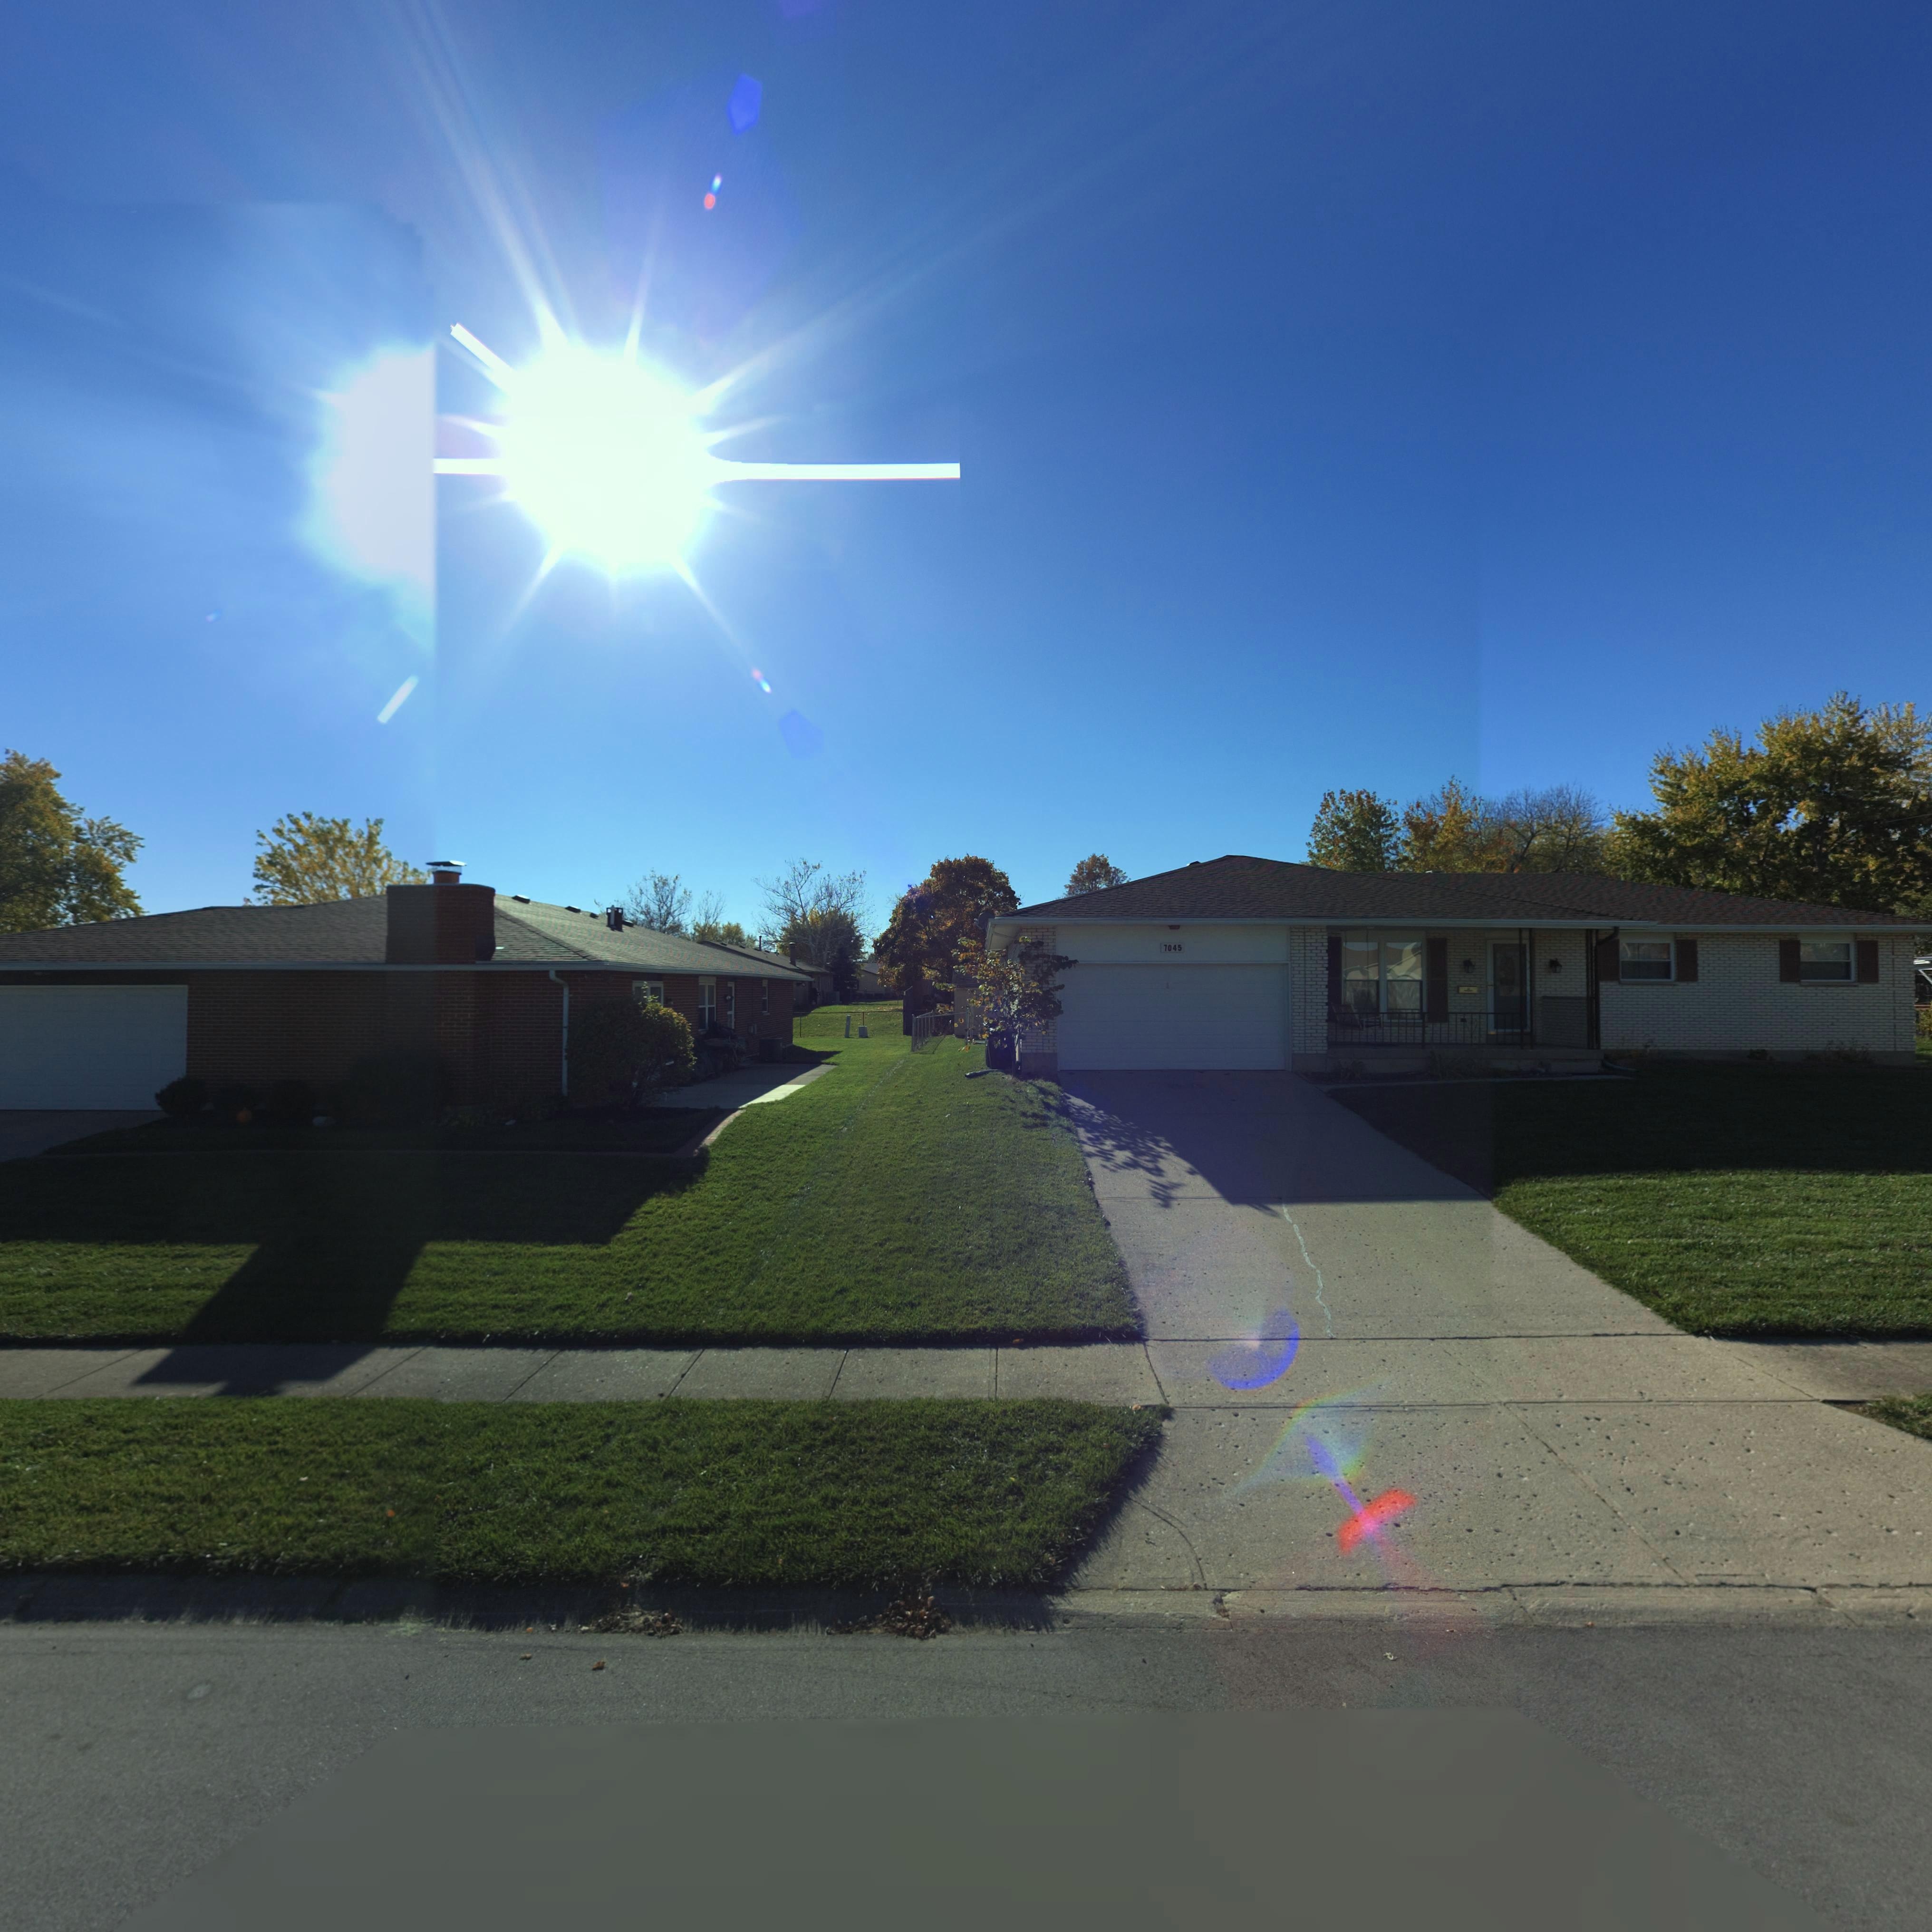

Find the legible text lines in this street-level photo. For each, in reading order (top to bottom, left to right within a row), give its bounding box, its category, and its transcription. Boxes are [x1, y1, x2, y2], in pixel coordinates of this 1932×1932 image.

[1163, 944, 1182, 952] StreetNumber: 7045